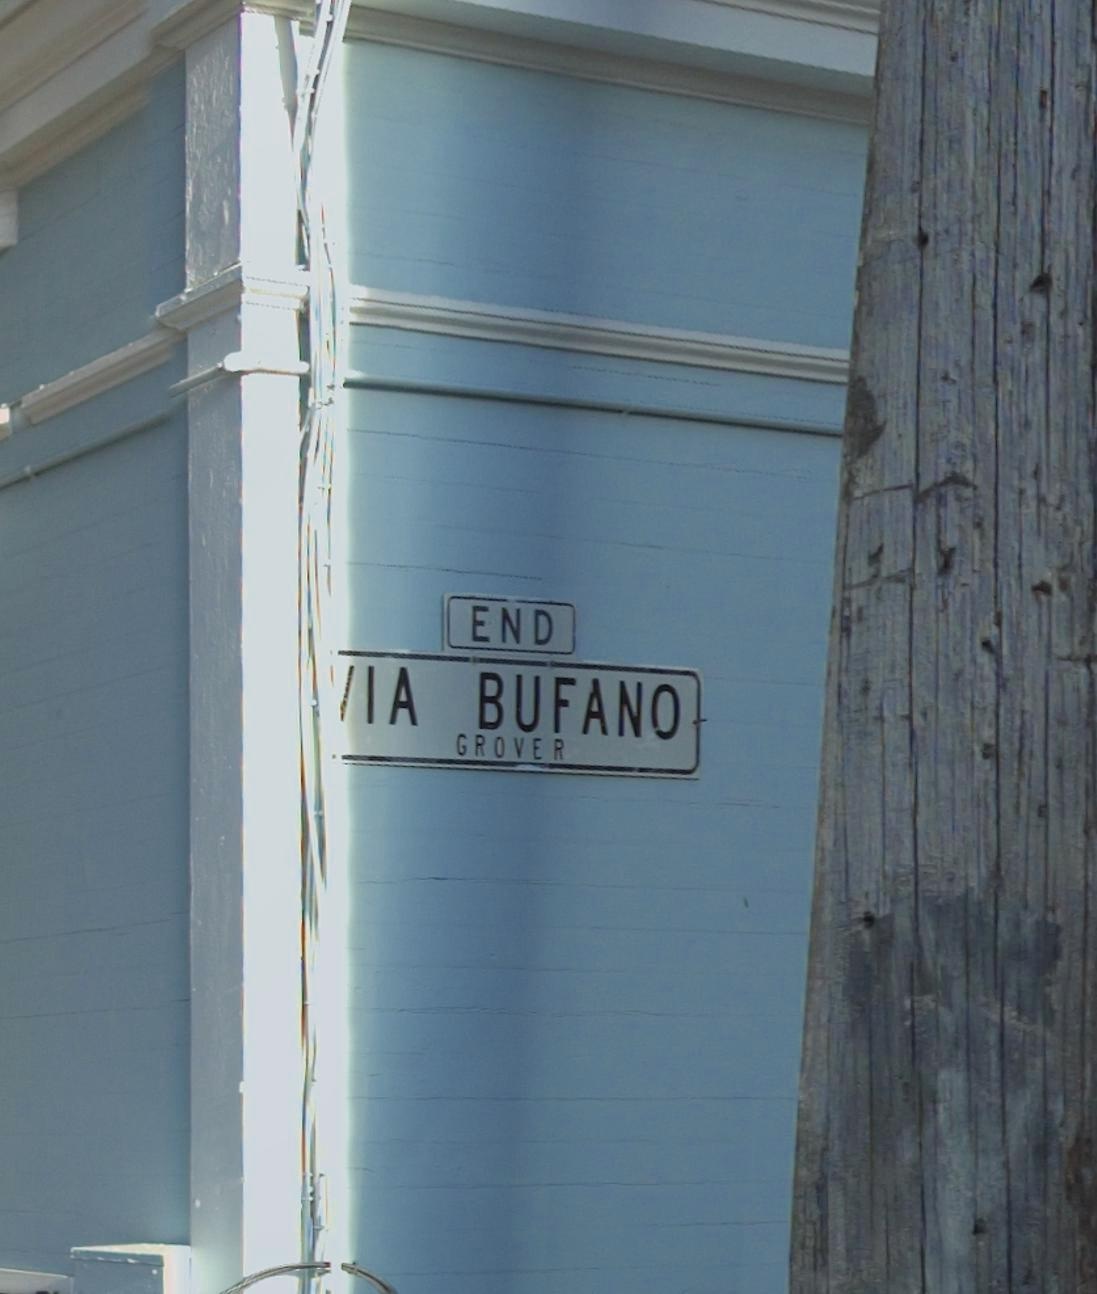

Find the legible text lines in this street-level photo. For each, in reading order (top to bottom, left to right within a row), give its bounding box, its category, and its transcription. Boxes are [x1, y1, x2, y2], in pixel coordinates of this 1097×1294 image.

[468, 600, 558, 650] None: END
[360, 660, 686, 745] StreetName: IA BUFANO
[453, 730, 568, 765] StreetName: GROVER